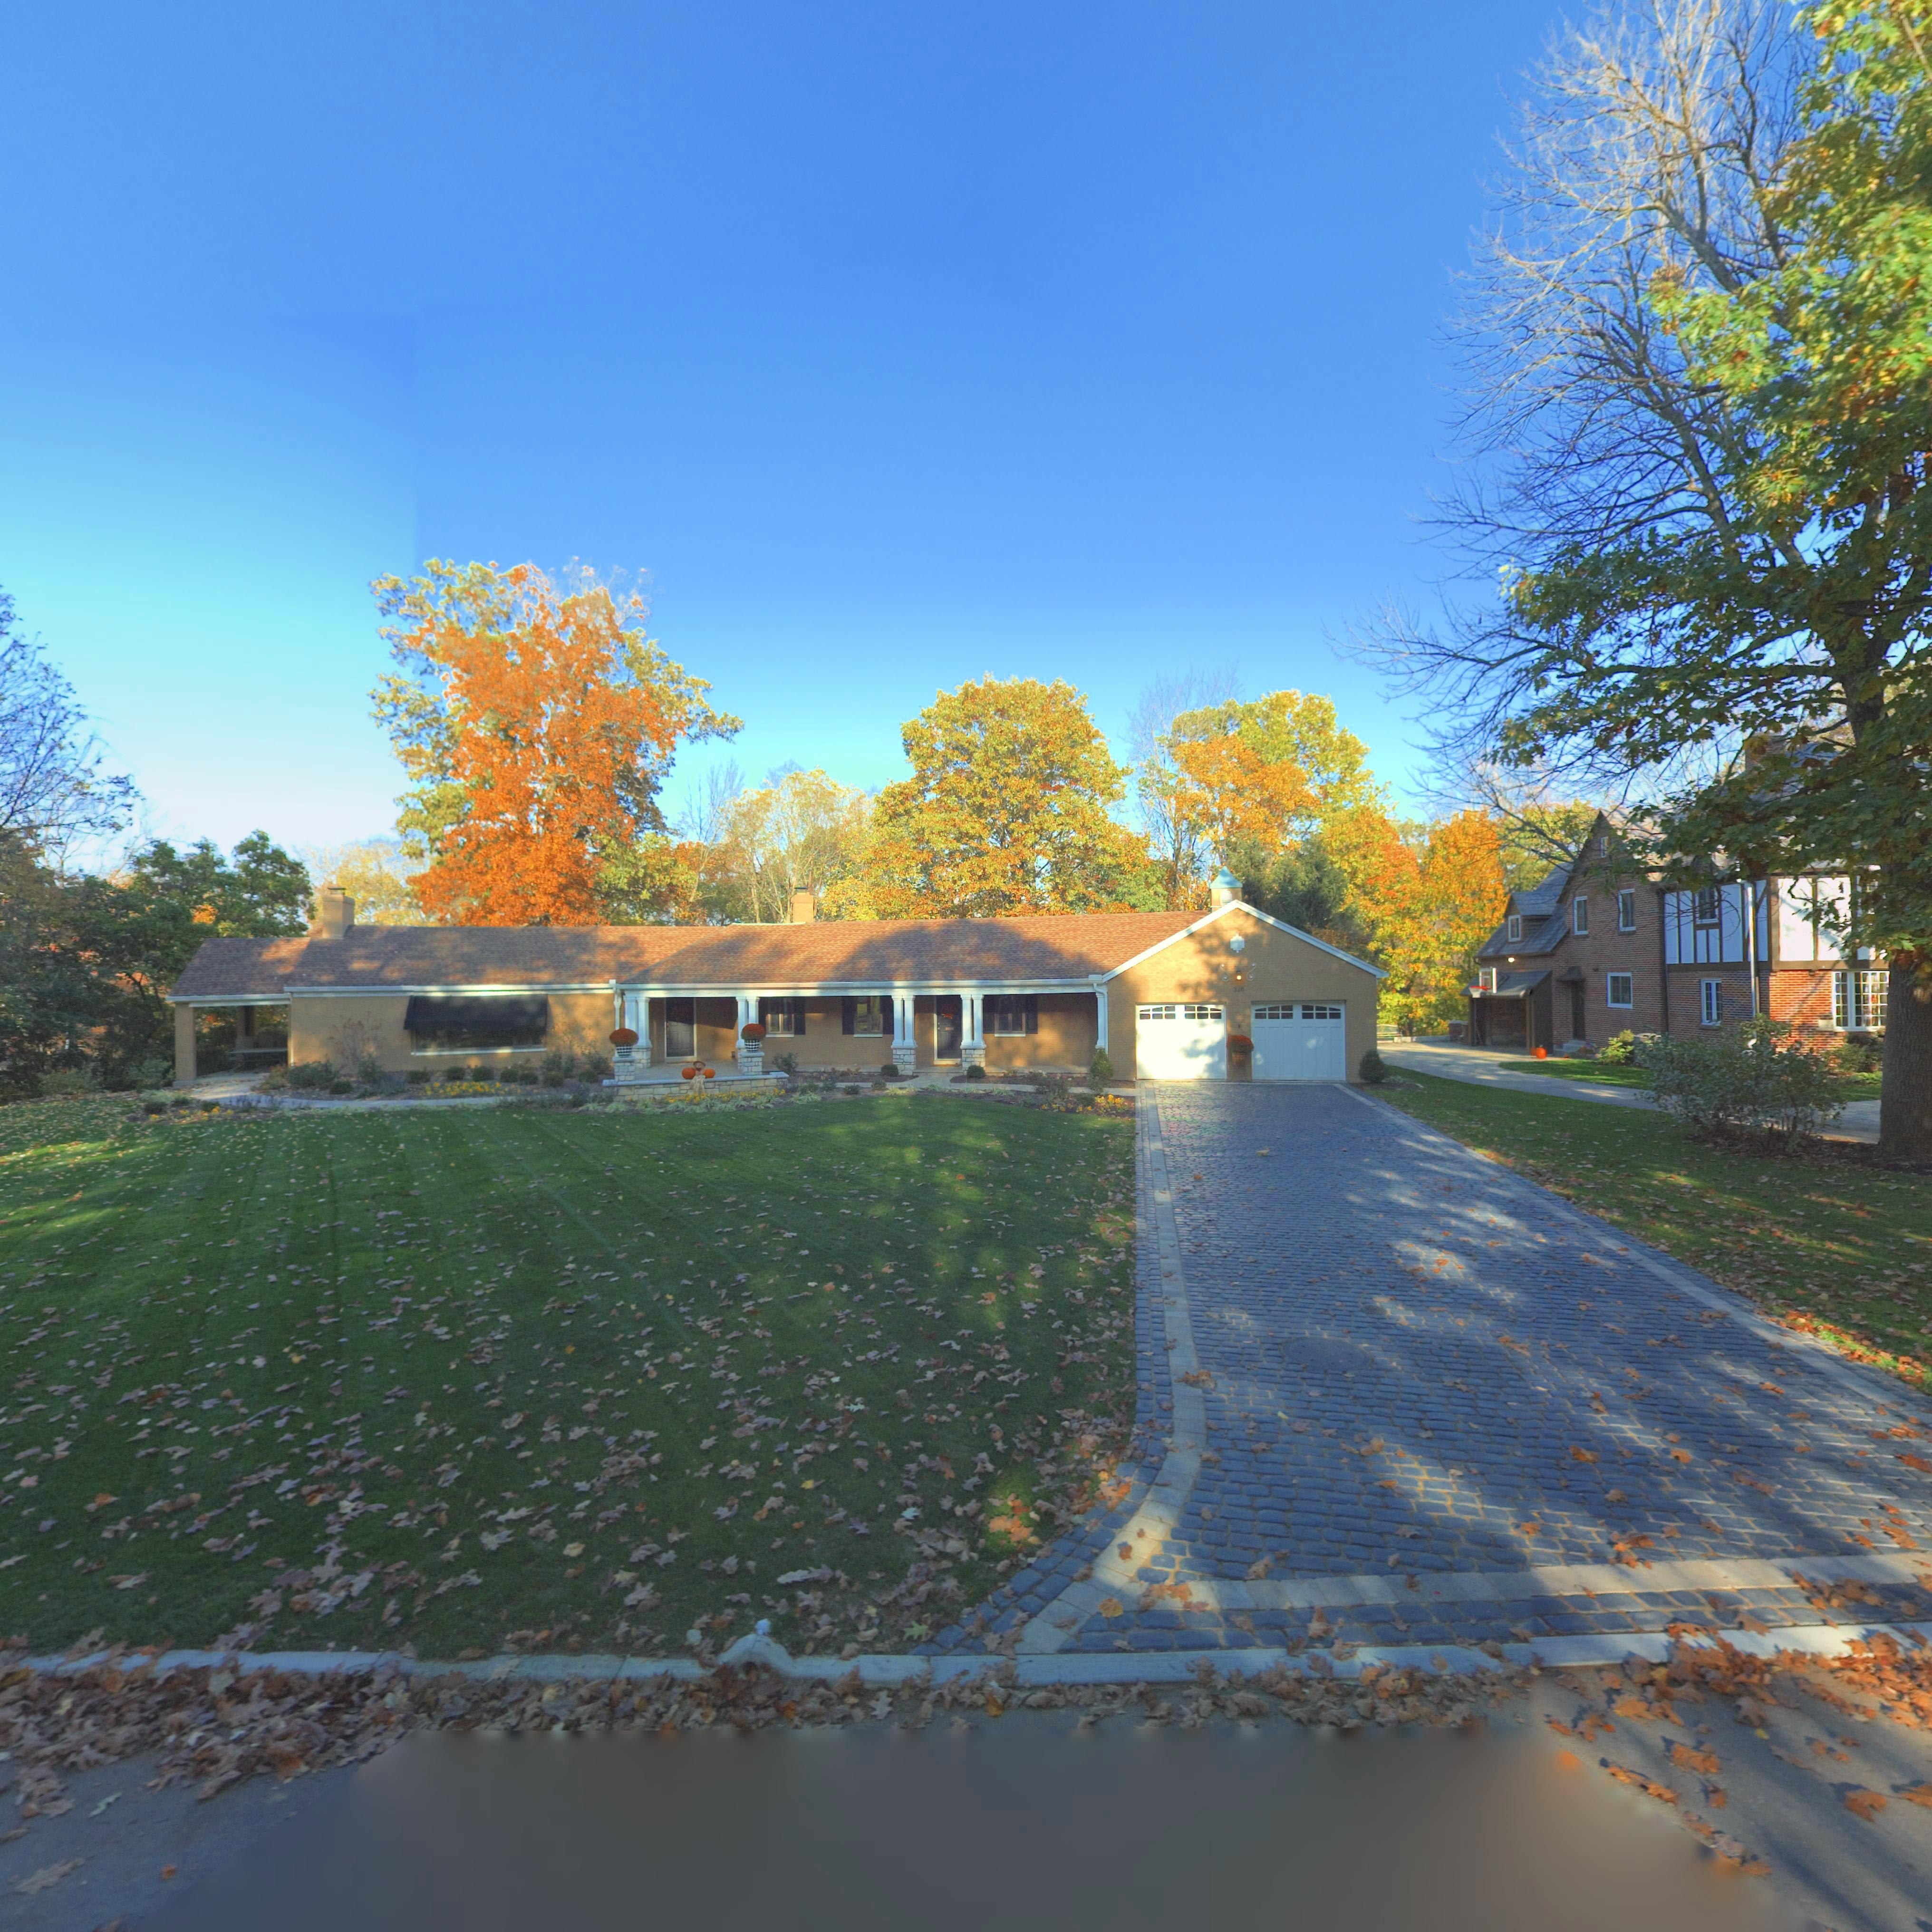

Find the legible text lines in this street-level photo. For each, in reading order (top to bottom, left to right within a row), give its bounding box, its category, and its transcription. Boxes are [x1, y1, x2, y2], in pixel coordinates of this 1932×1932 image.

[1233, 985, 1245, 993] StreetNumber: 320